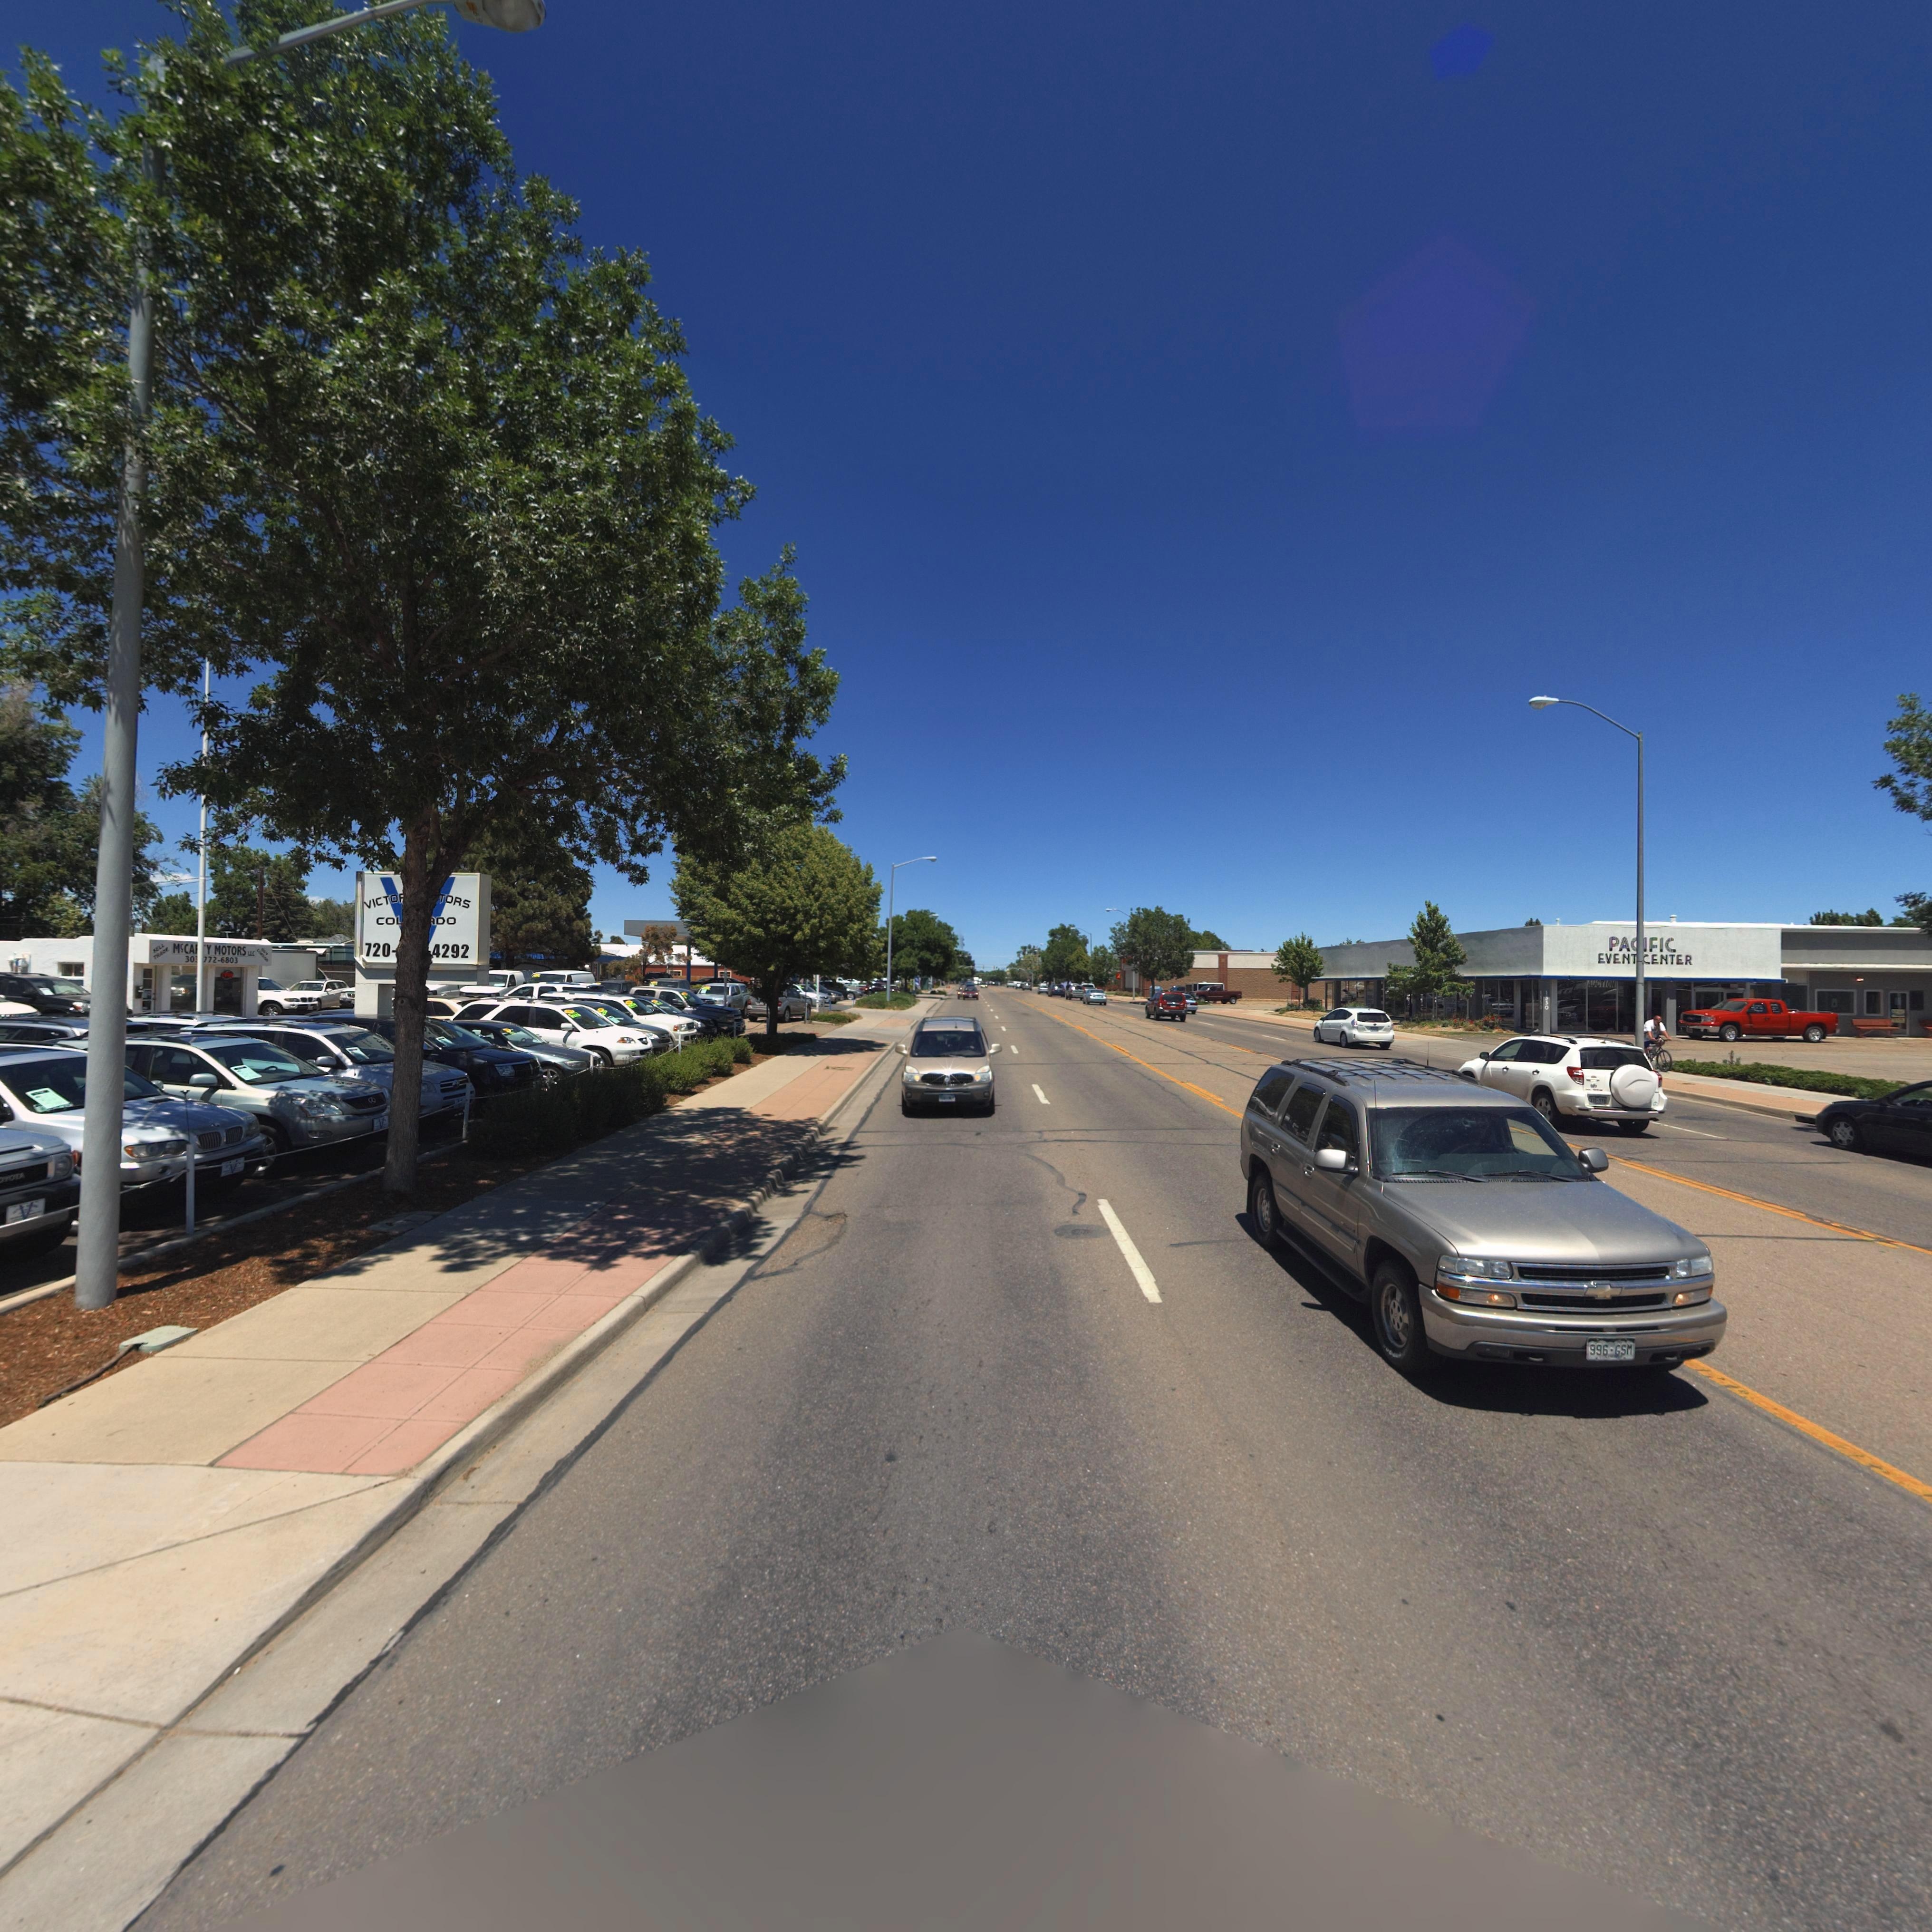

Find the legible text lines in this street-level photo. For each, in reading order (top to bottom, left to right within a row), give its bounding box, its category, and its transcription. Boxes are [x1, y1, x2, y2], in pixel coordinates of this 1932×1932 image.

[363, 892, 471, 909] BusinessName: VICTO** **TORS
[172, 942, 246, 956] BusinessName: McCA**Y MOTORS
[1608, 936, 1677, 953] BusinessName: PA**FIC
[1597, 953, 1693, 965] BusinessName: EVENT*CENTER
[1539, 989, 1542, 1009] StreetNumber: 1330
[1544, 989, 1549, 1010] StreetNumber: 1330